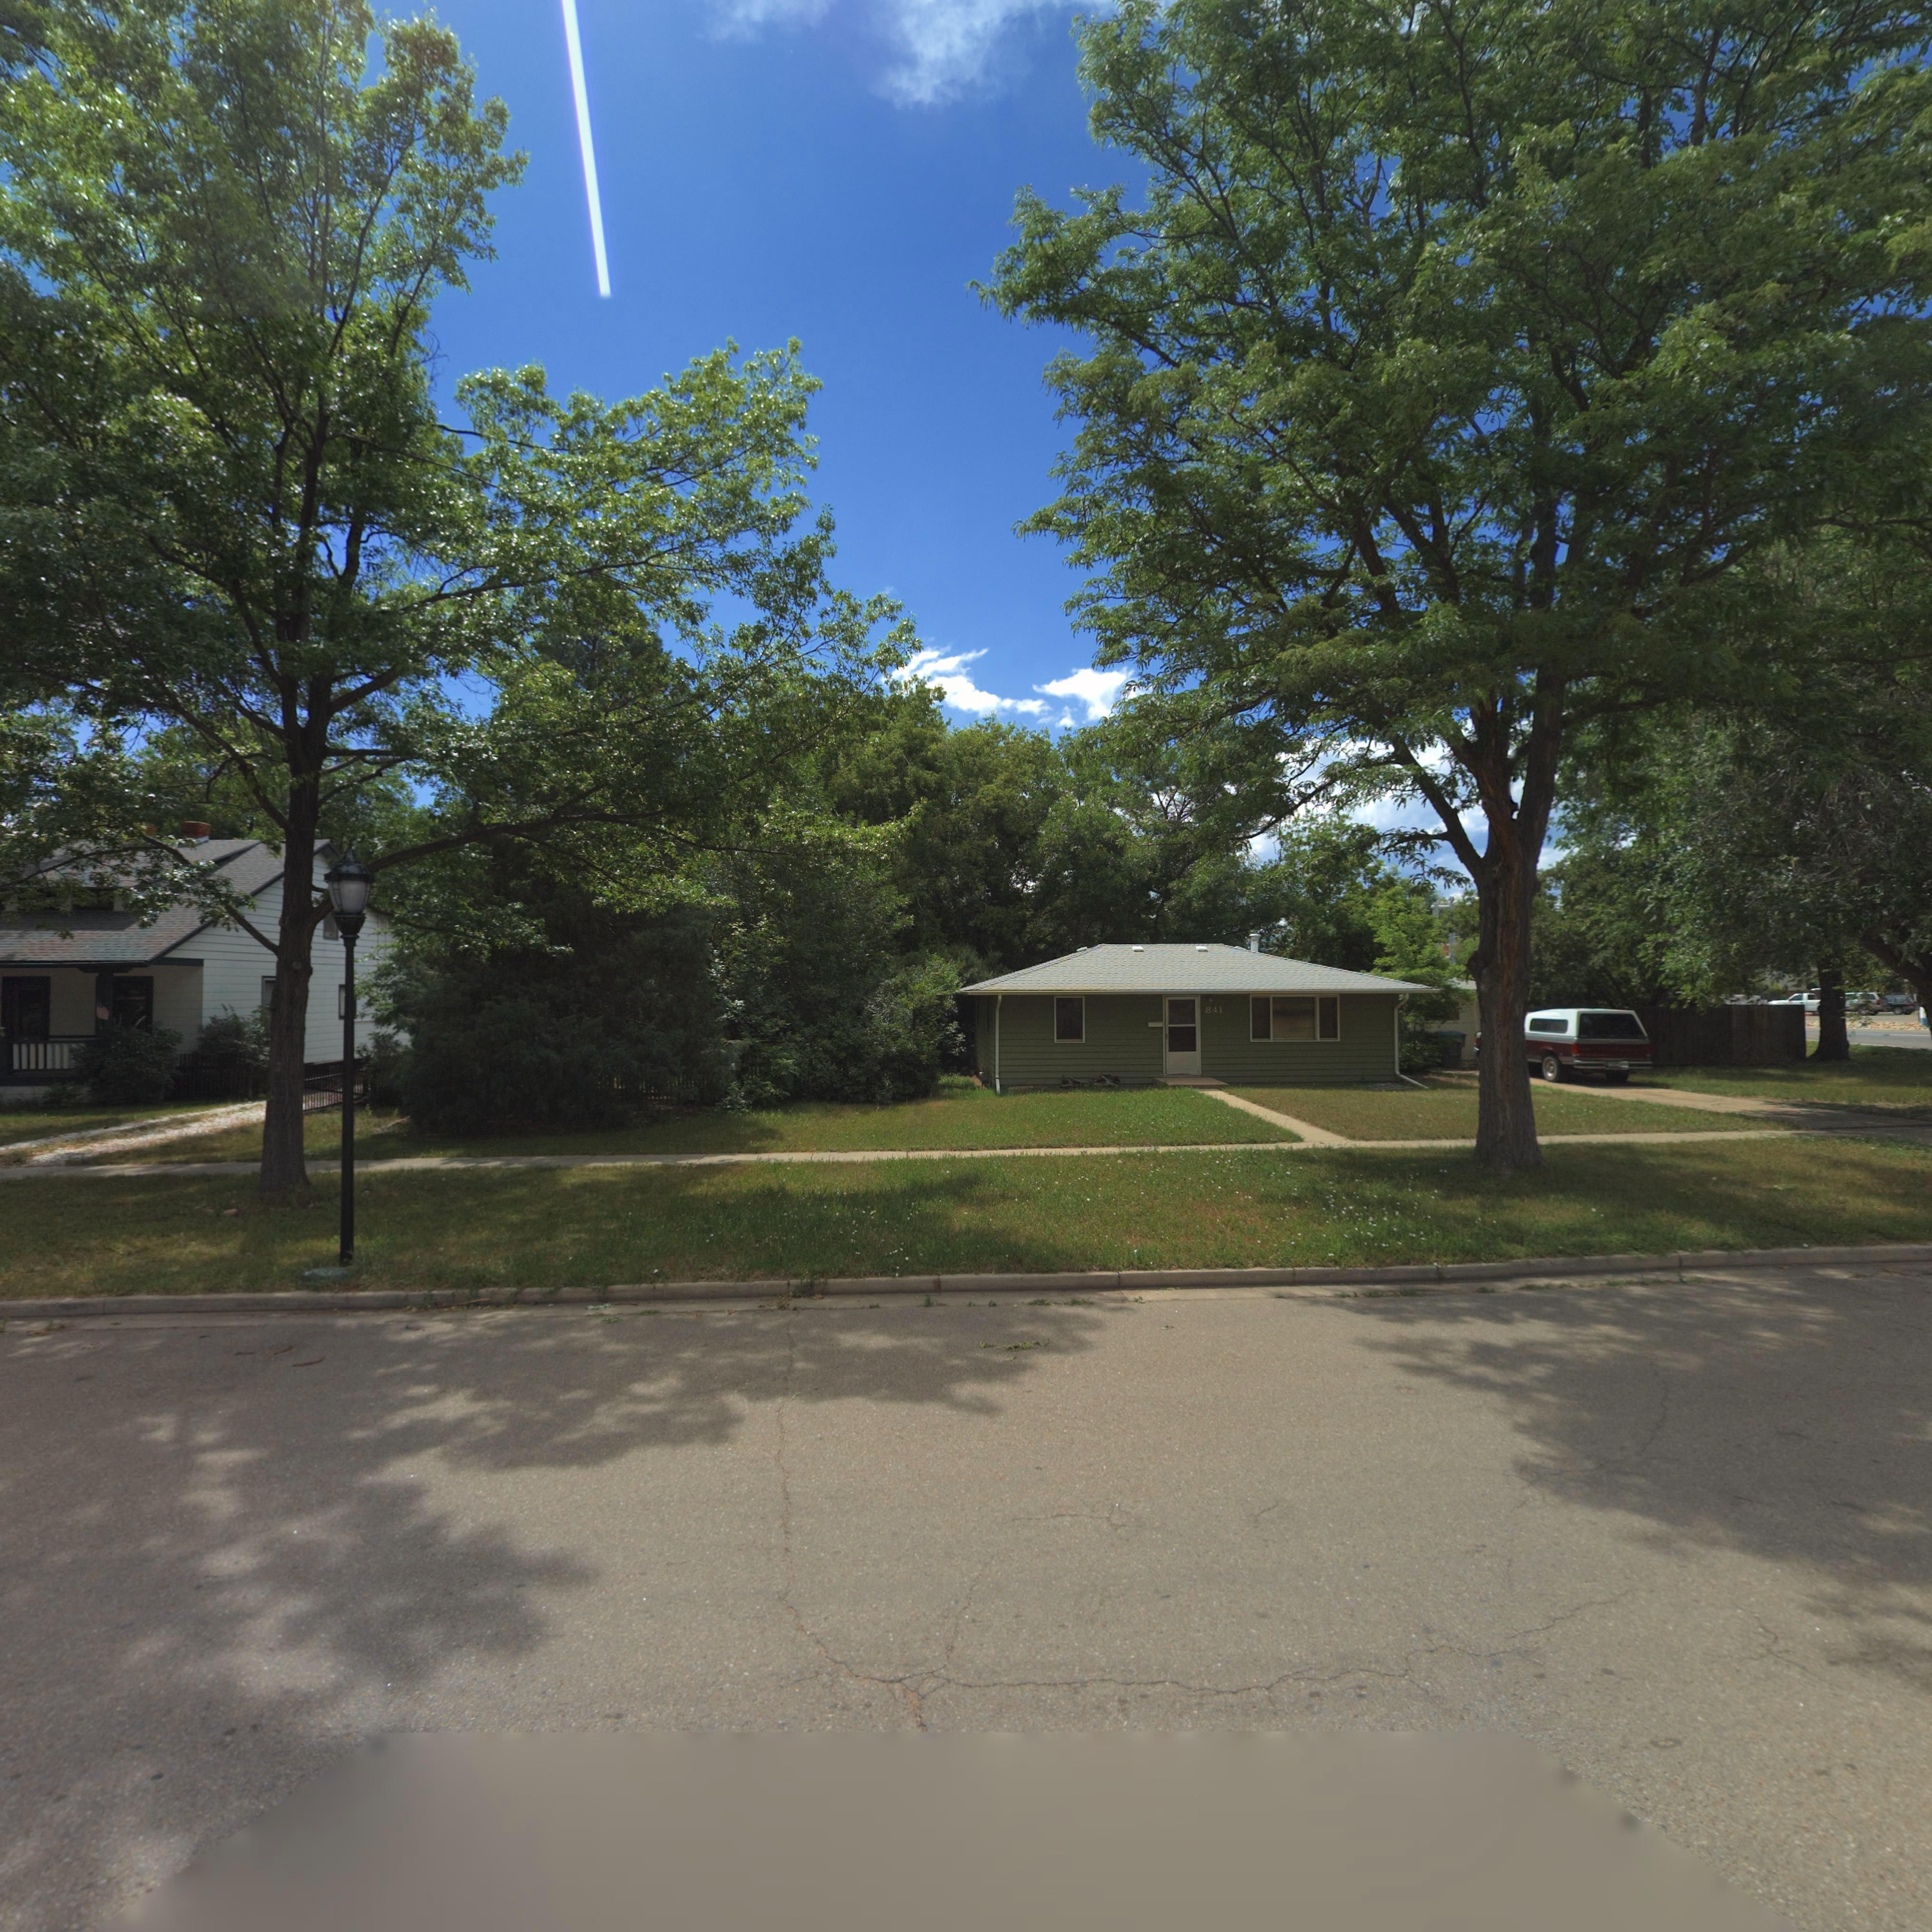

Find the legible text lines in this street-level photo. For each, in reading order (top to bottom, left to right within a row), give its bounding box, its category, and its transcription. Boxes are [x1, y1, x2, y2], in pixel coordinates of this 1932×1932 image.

[1205, 1005, 1222, 1013] StreetNumber: 841